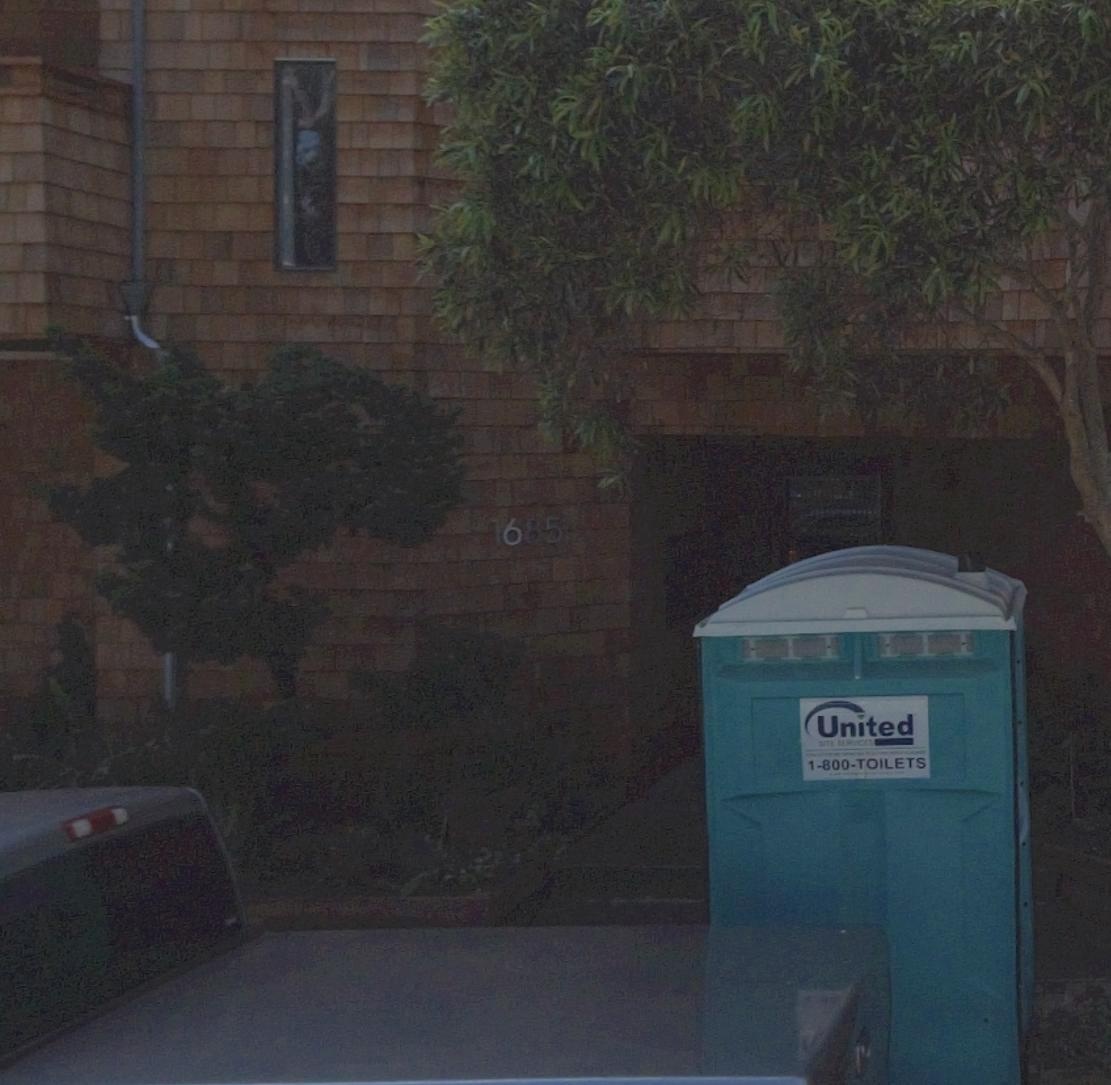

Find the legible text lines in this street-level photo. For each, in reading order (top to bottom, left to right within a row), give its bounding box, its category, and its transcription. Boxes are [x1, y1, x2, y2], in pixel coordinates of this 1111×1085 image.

[490, 513, 564, 549] StreetNumber: 1685
[815, 712, 916, 739] None: United
[807, 756, 927, 772] None: 1-800-TOILETS